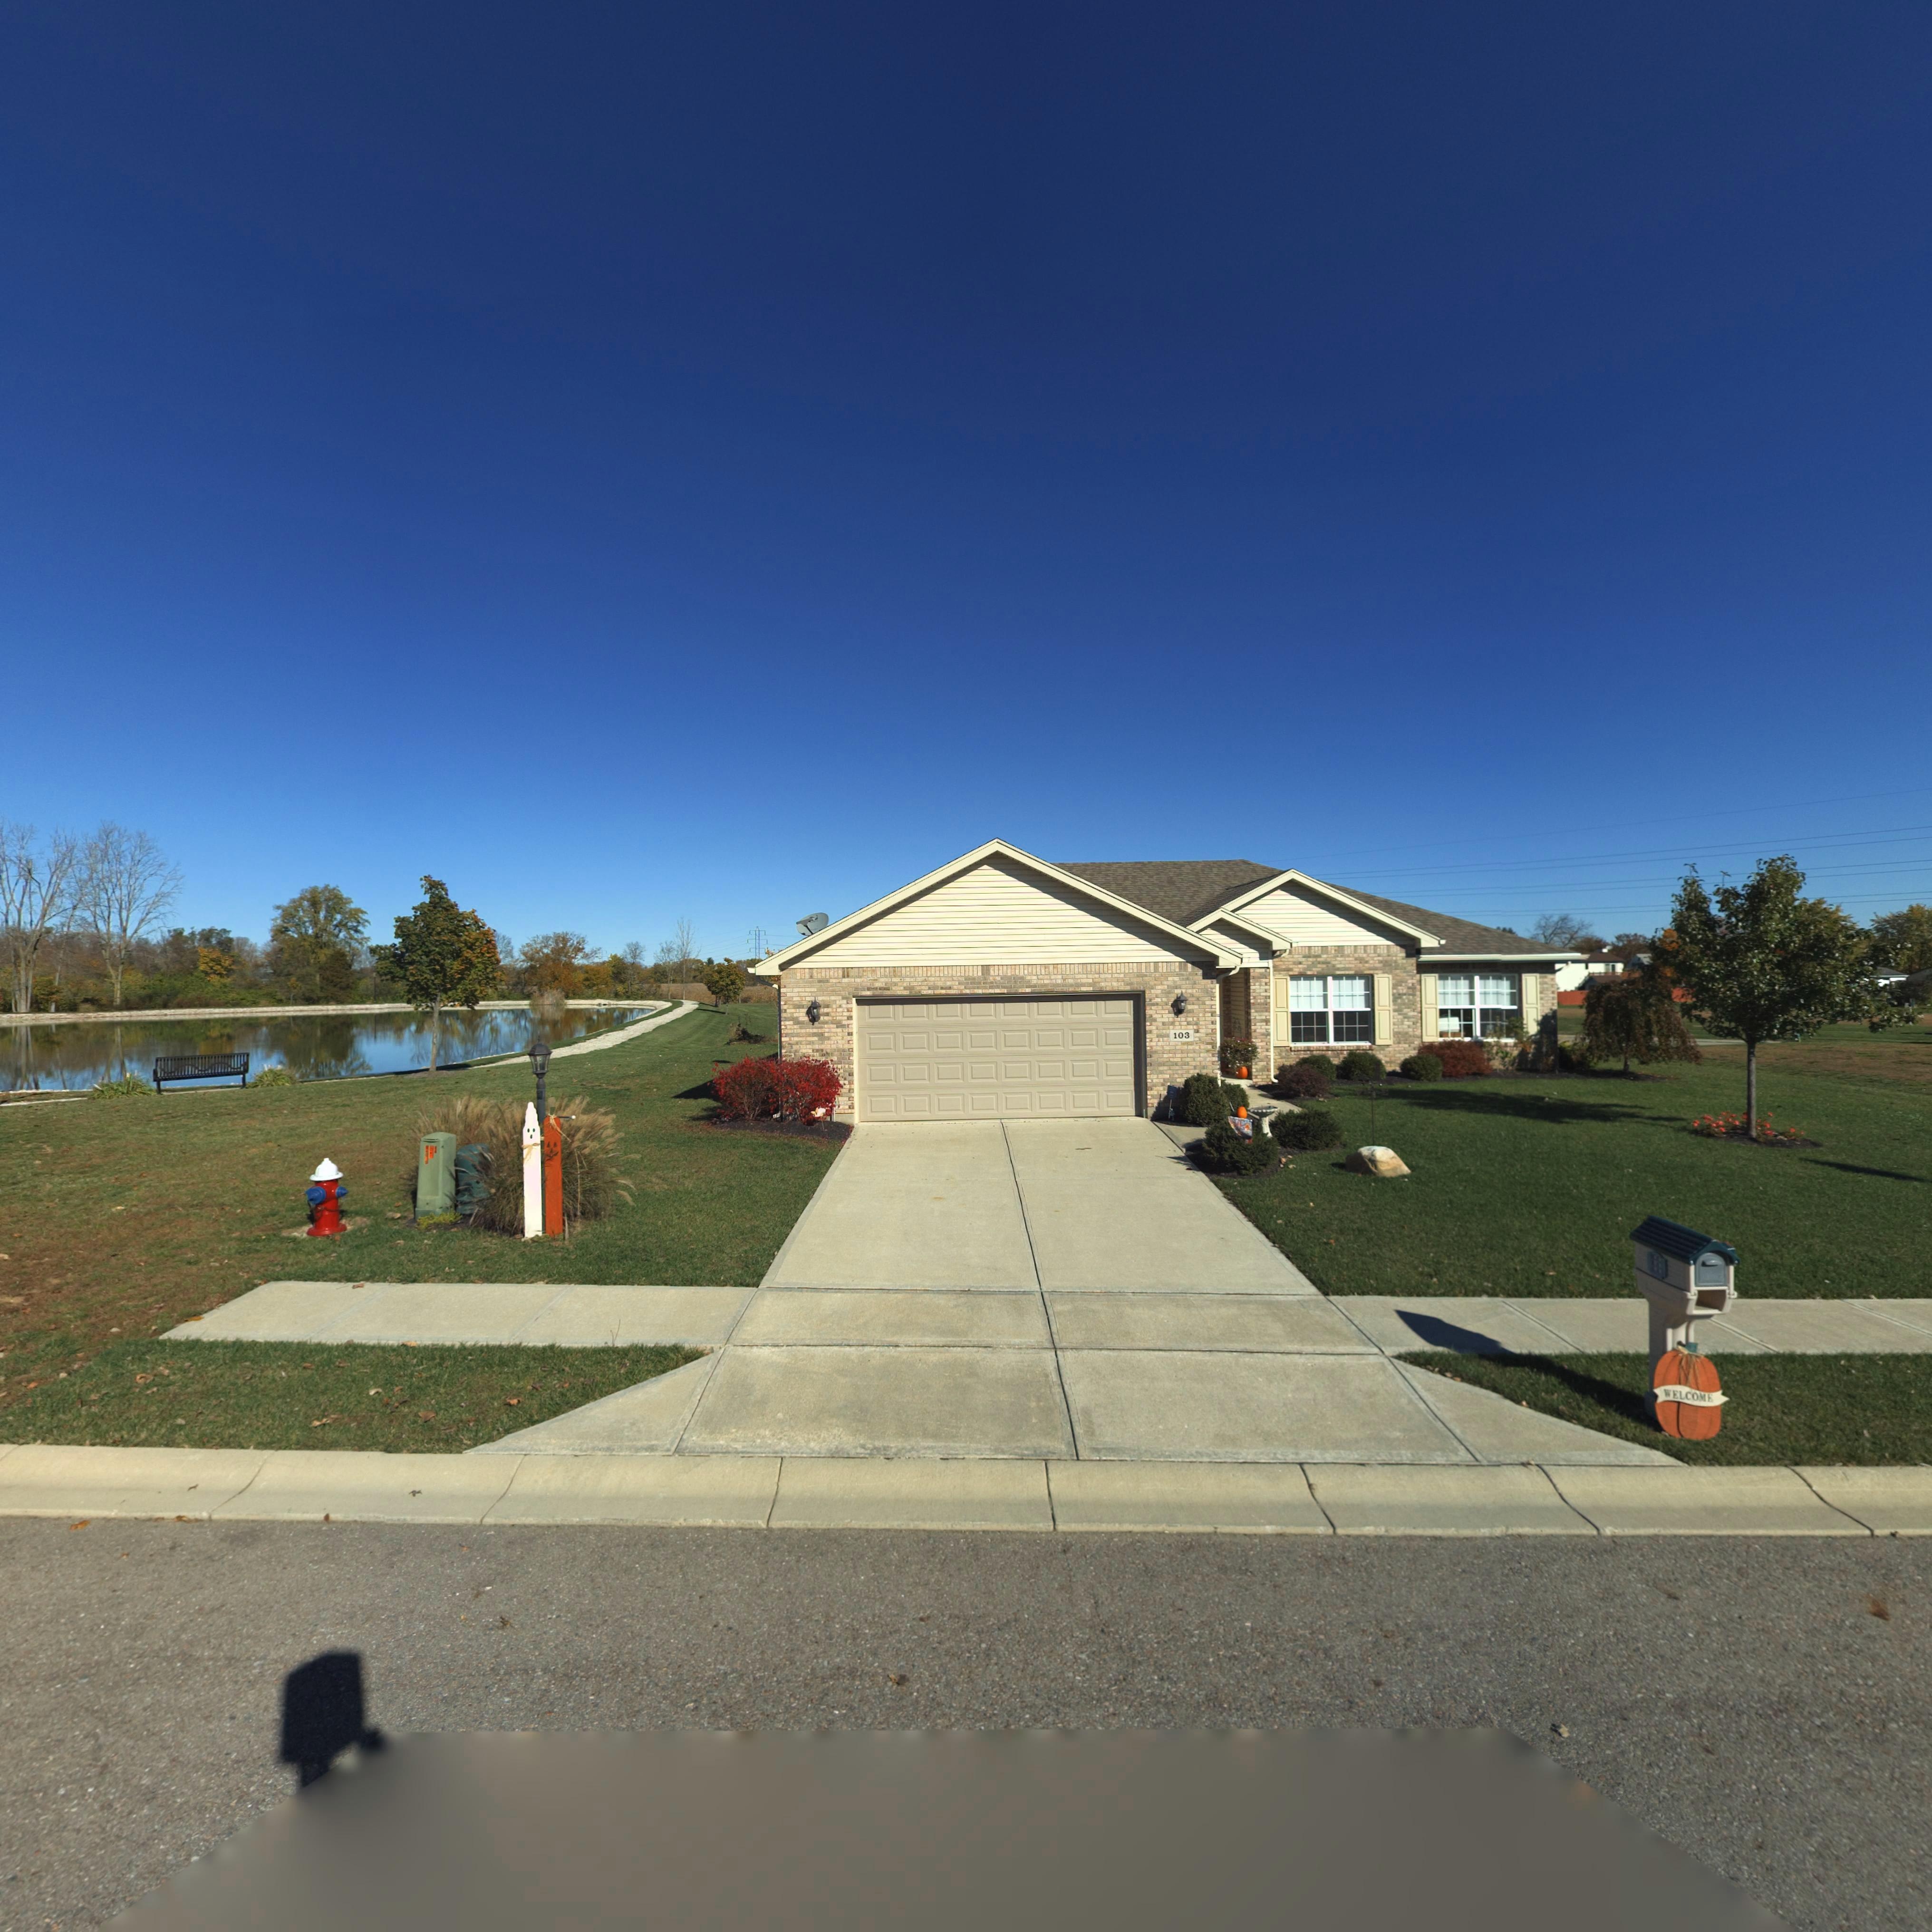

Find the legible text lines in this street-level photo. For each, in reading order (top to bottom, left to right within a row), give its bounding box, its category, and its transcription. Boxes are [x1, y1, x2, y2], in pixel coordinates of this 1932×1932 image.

[1173, 1031, 1190, 1039] StreetNumber: 103